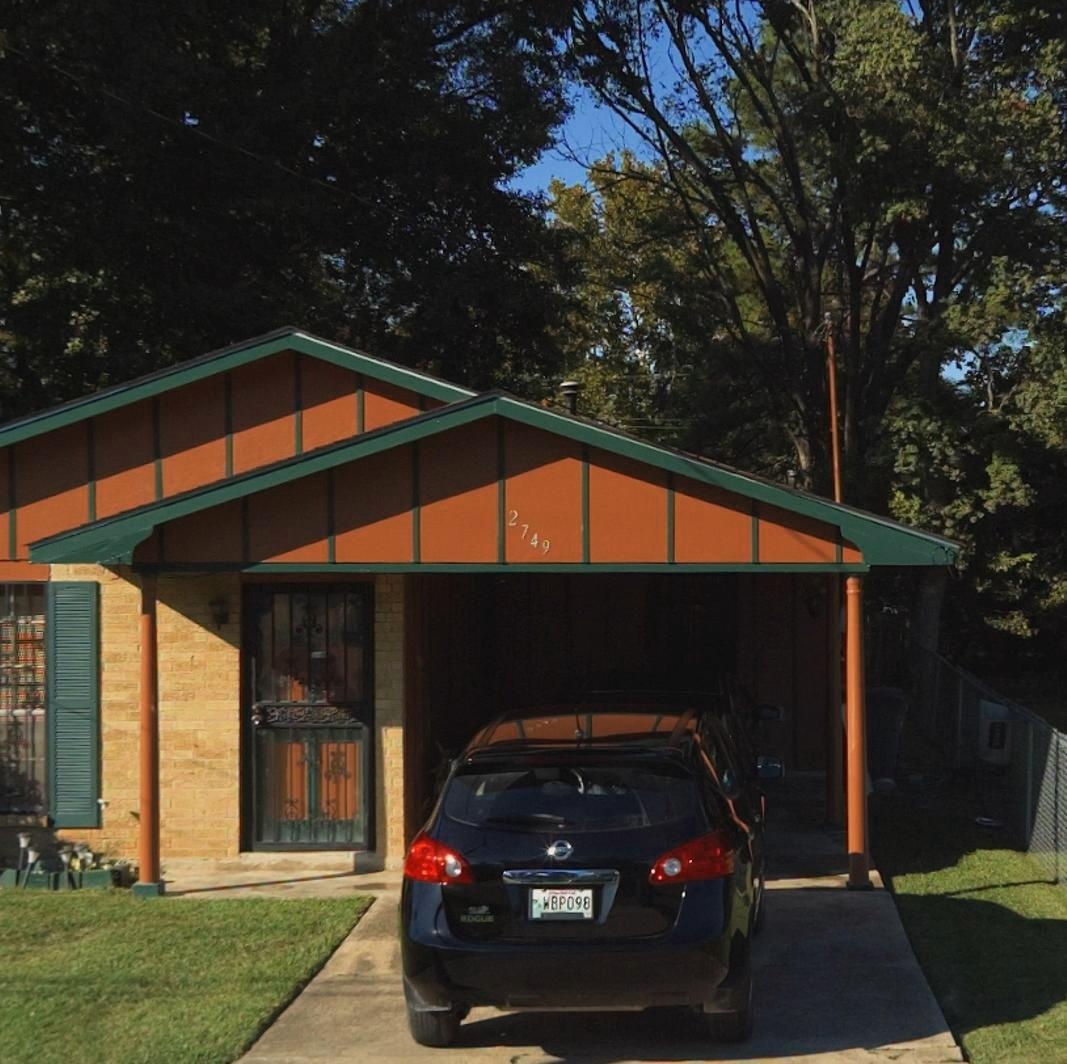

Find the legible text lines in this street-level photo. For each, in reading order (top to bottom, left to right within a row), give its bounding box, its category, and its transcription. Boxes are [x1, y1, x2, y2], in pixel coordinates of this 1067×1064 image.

[506, 507, 552, 560] StreetNumber: 2749
[541, 894, 592, 912] None: WBP098
[458, 913, 496, 924] None: ROGUE